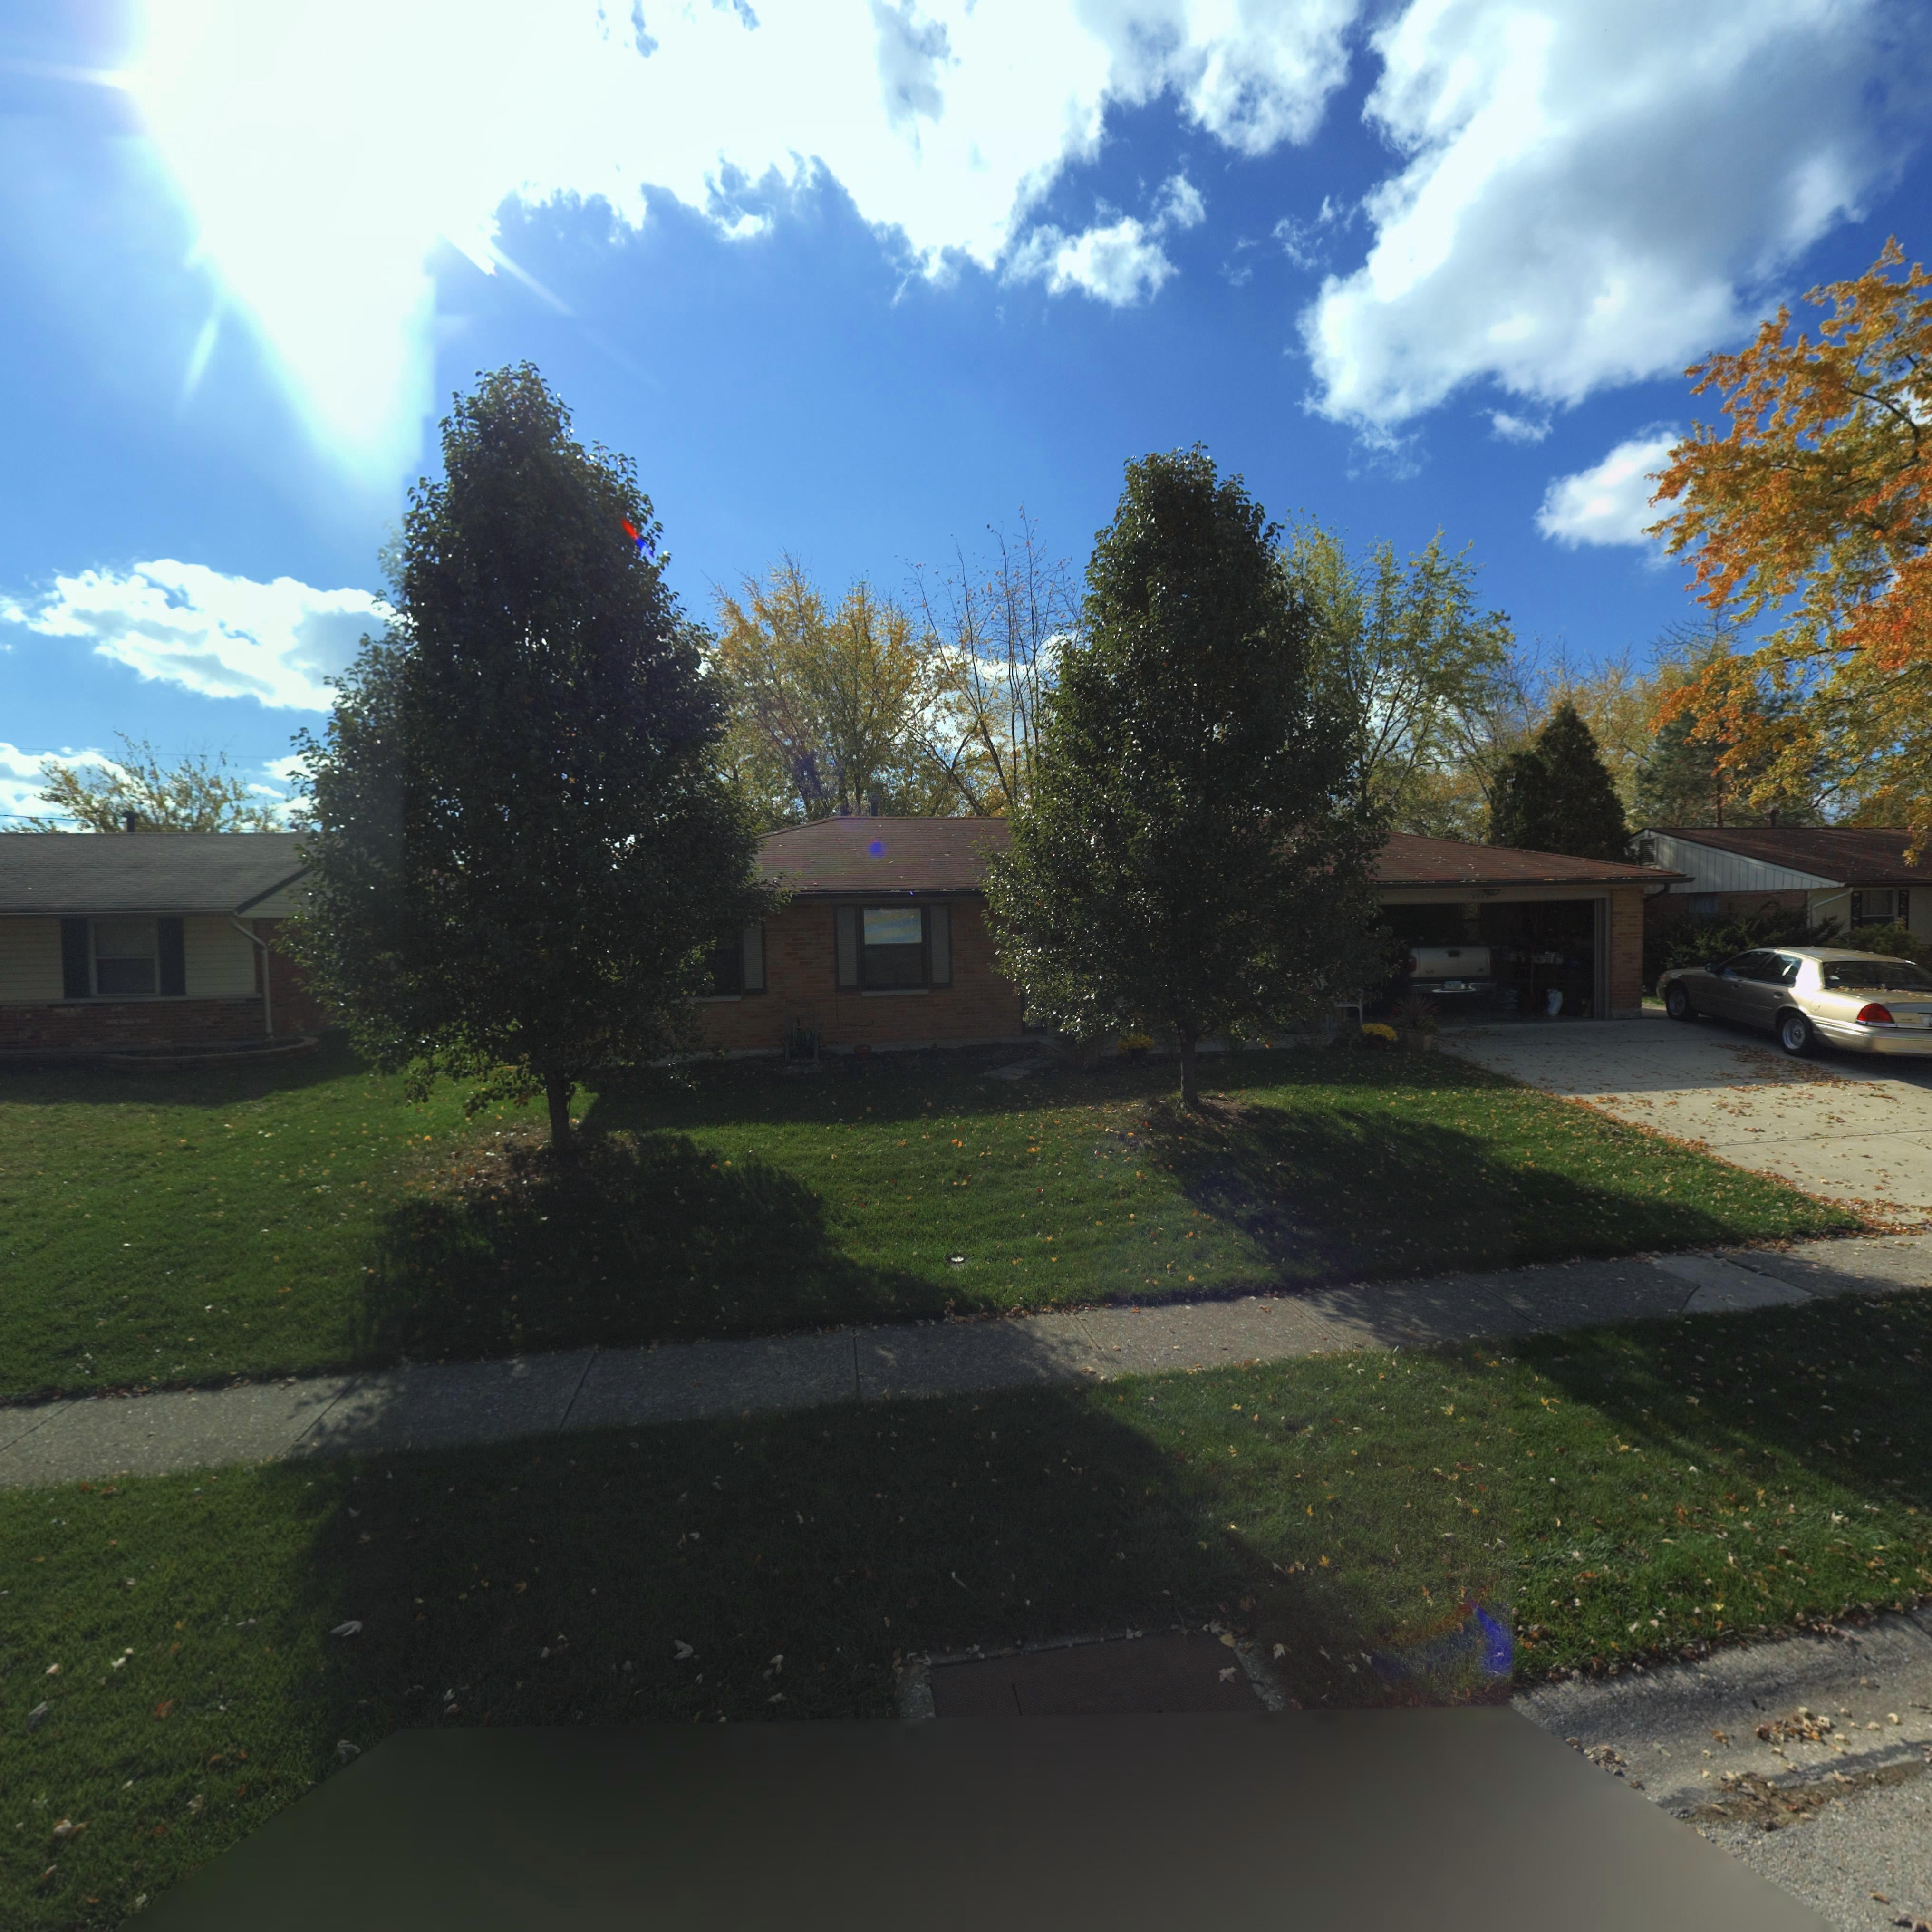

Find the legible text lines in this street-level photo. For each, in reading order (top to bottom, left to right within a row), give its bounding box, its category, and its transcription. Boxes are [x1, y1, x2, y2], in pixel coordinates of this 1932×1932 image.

[1470, 893, 1491, 900] StreetNumber: 6568